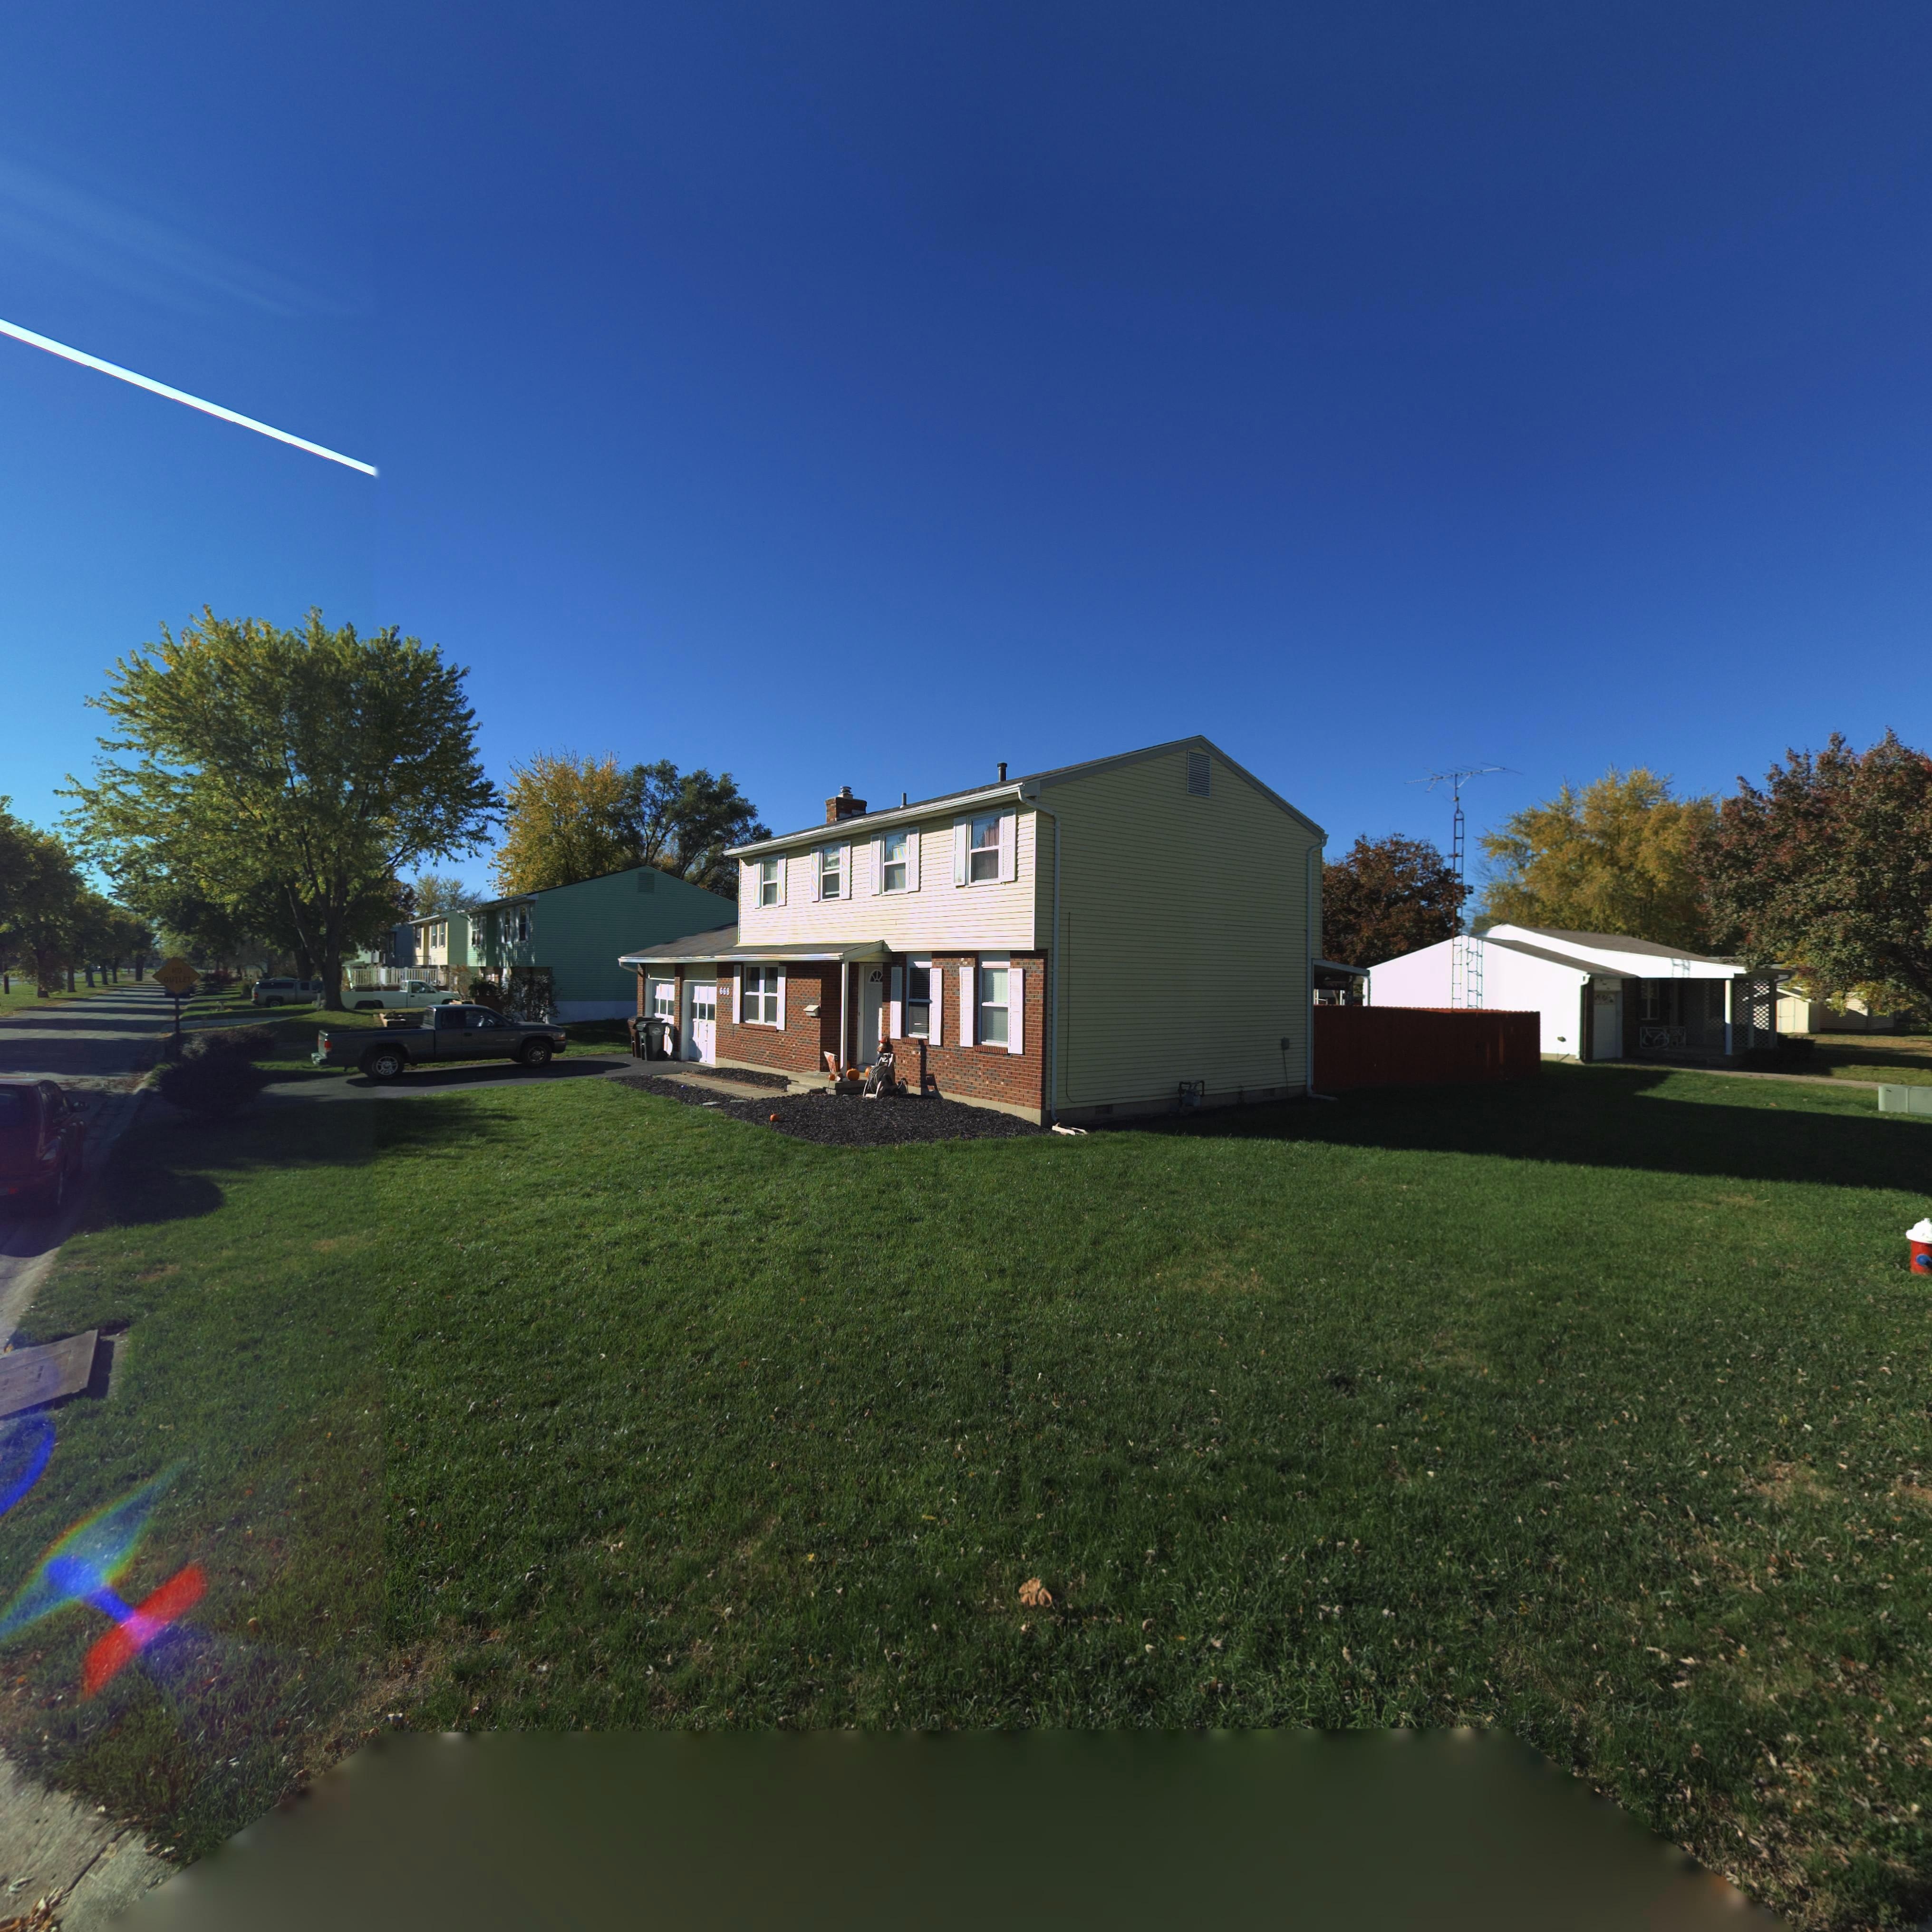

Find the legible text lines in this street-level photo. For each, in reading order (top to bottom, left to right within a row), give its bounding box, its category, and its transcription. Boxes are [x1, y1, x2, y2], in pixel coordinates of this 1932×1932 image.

[719, 986, 730, 996] StreetNumber: 668